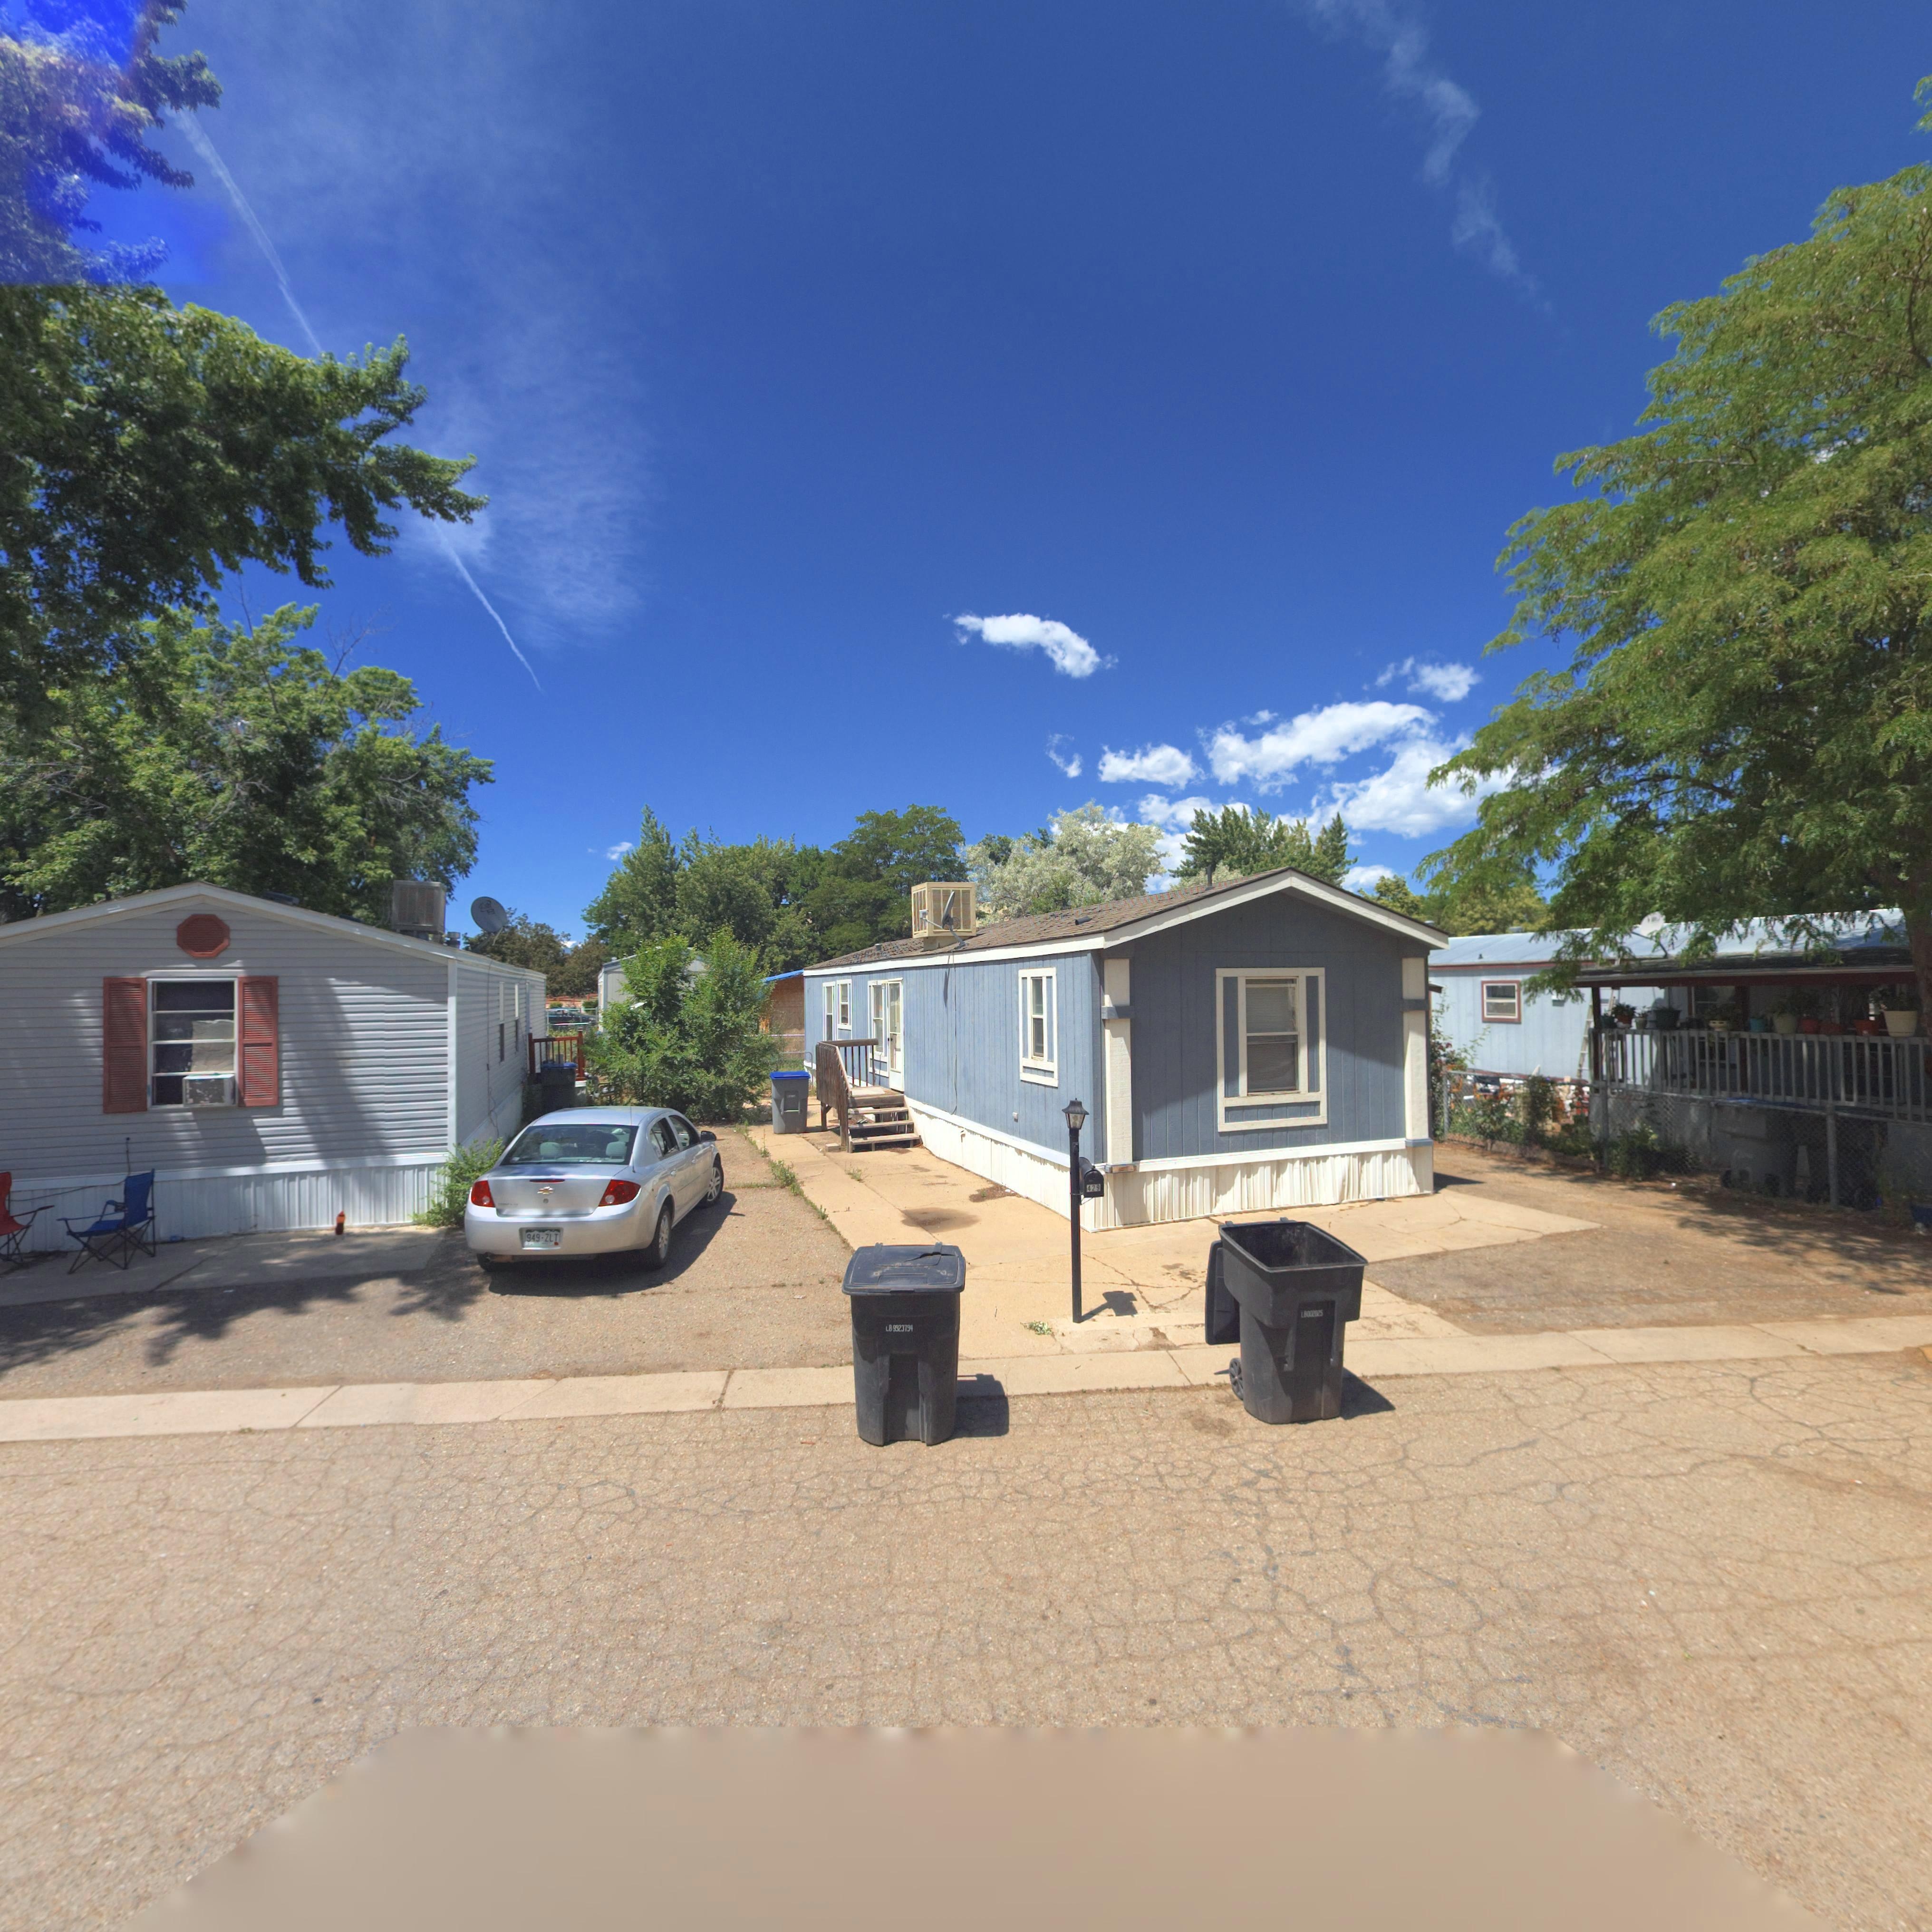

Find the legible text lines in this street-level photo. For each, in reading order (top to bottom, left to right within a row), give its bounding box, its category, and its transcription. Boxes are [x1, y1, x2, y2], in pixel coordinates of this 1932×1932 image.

[1087, 1184, 1100, 1191] StreetNumber: 429